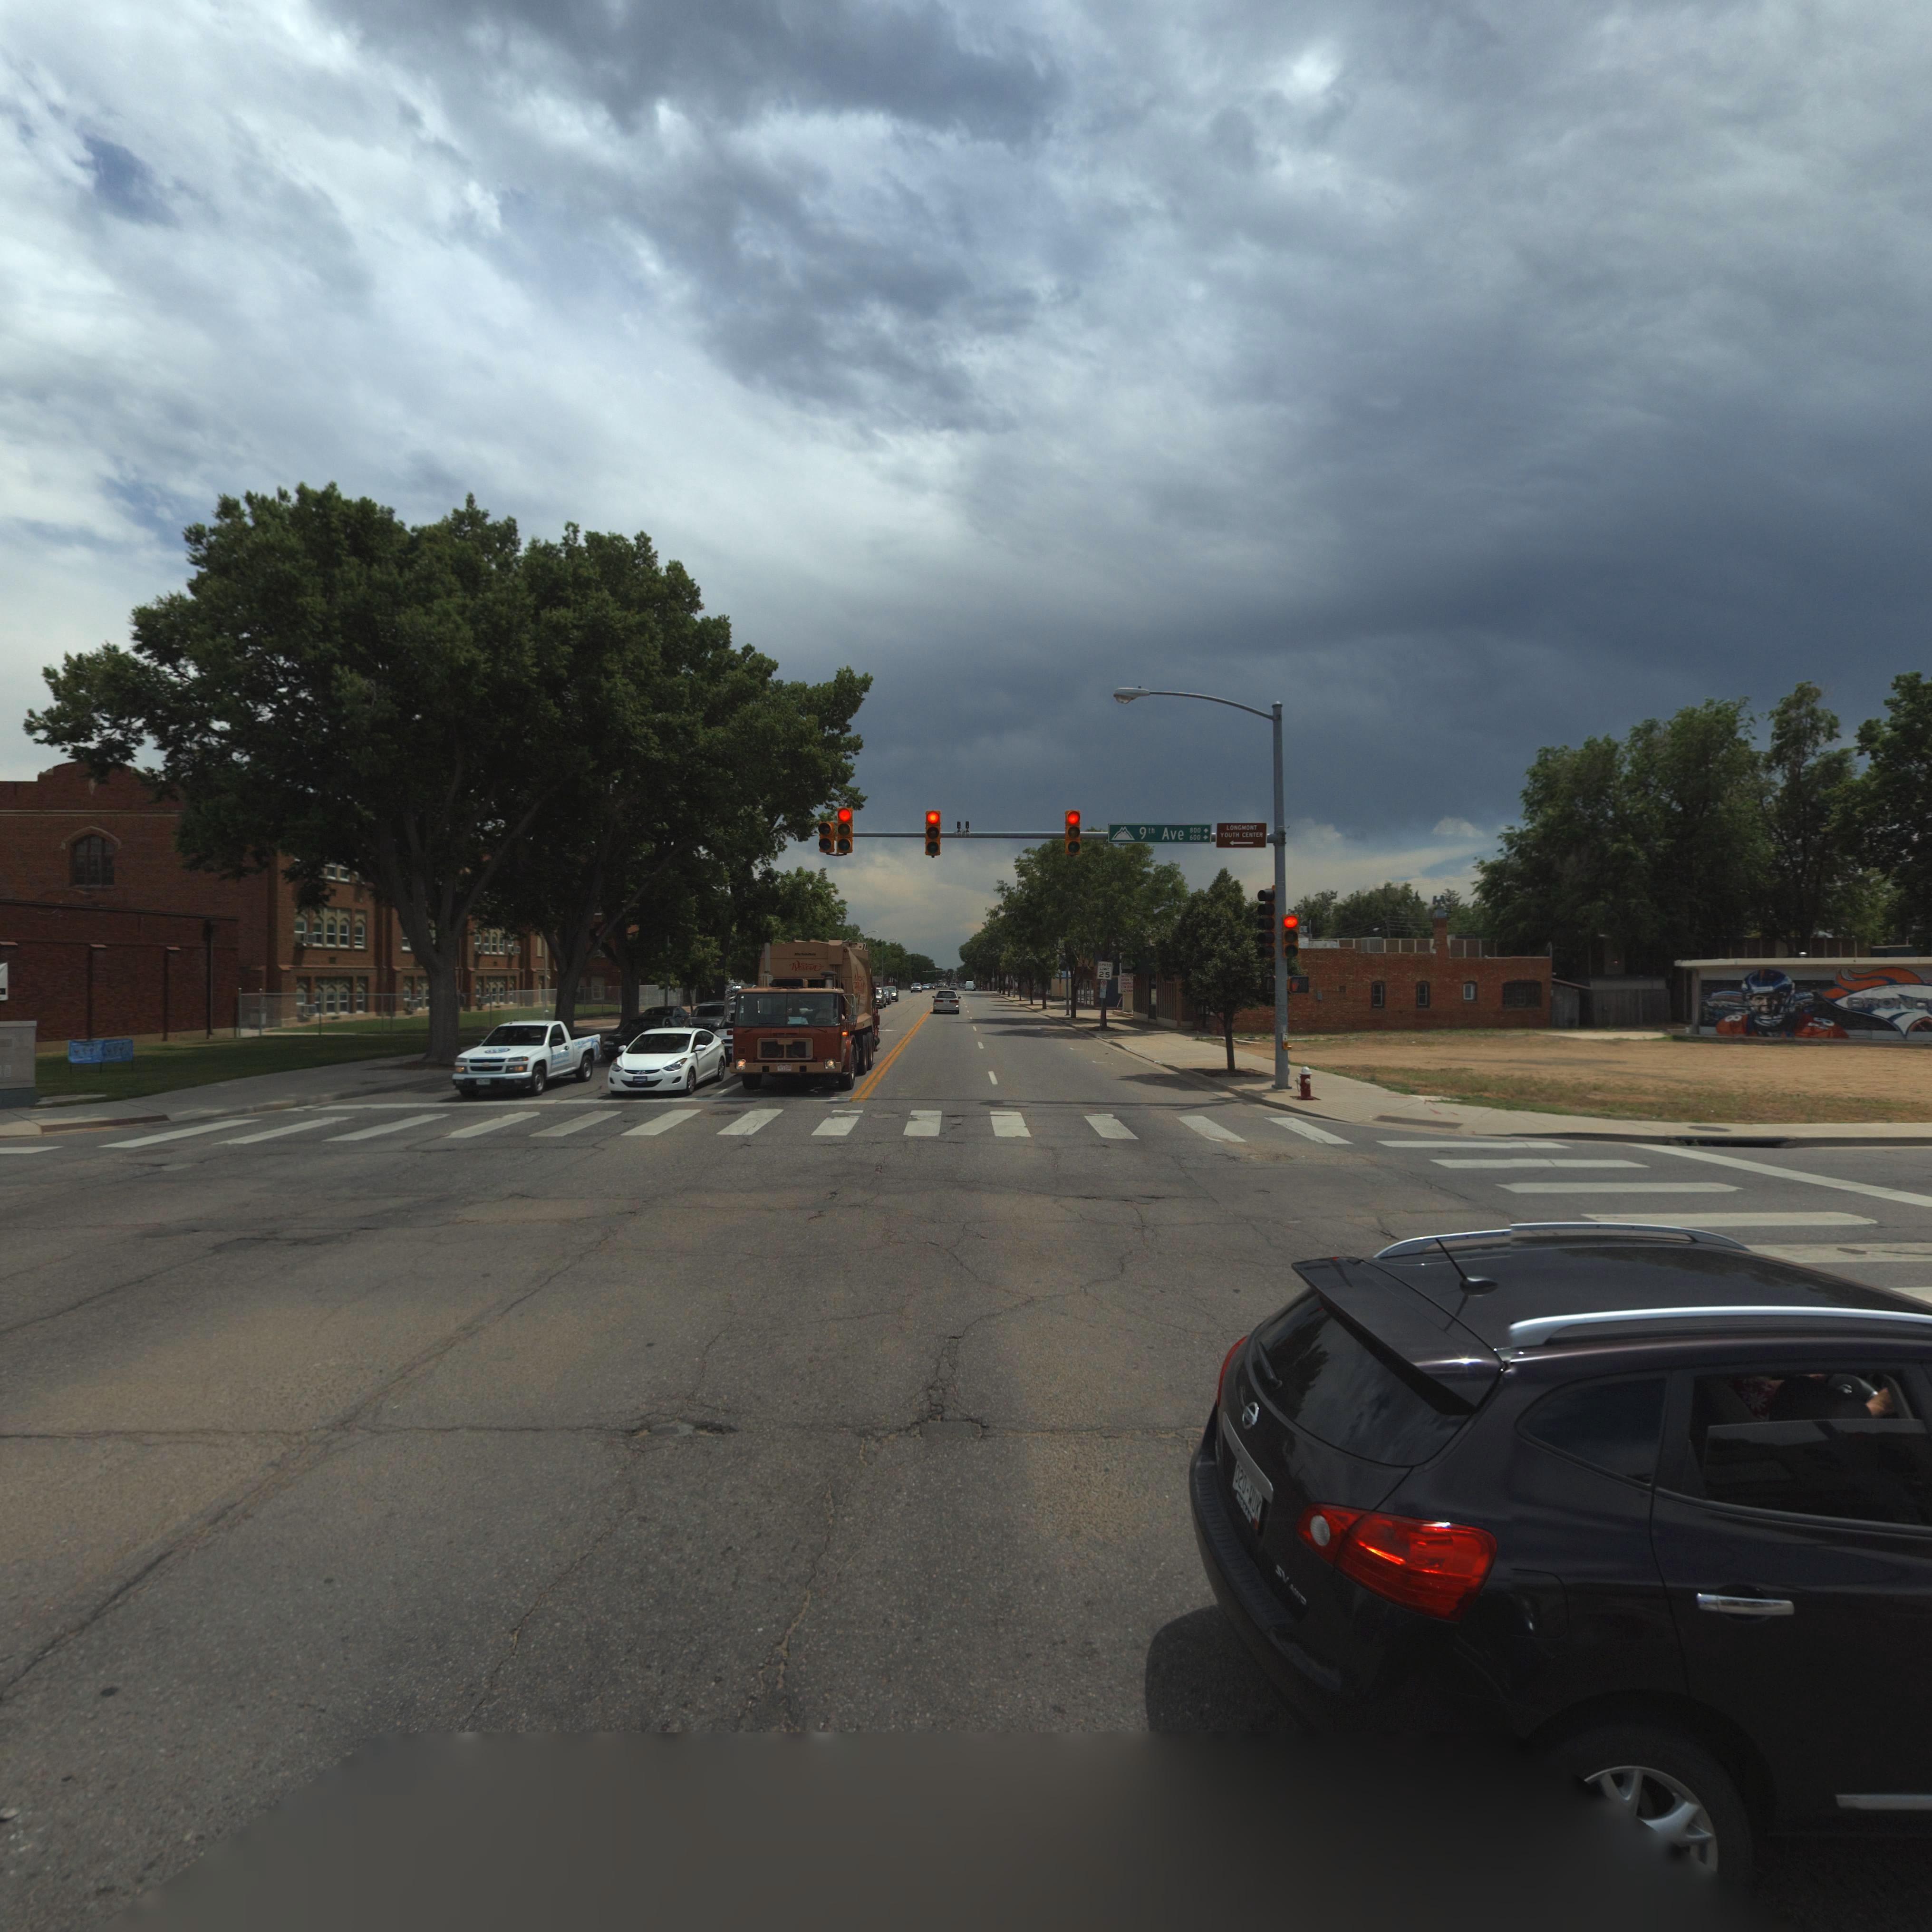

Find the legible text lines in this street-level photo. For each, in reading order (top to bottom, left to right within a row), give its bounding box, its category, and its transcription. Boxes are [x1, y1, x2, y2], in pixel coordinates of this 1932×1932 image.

[1189, 827, 1200, 833] StreetNumberRange: 800
[1140, 827, 1184, 840] StreetName: 9th Ave
[1189, 834, 1208, 840] StreetNumberRange: 600 ->